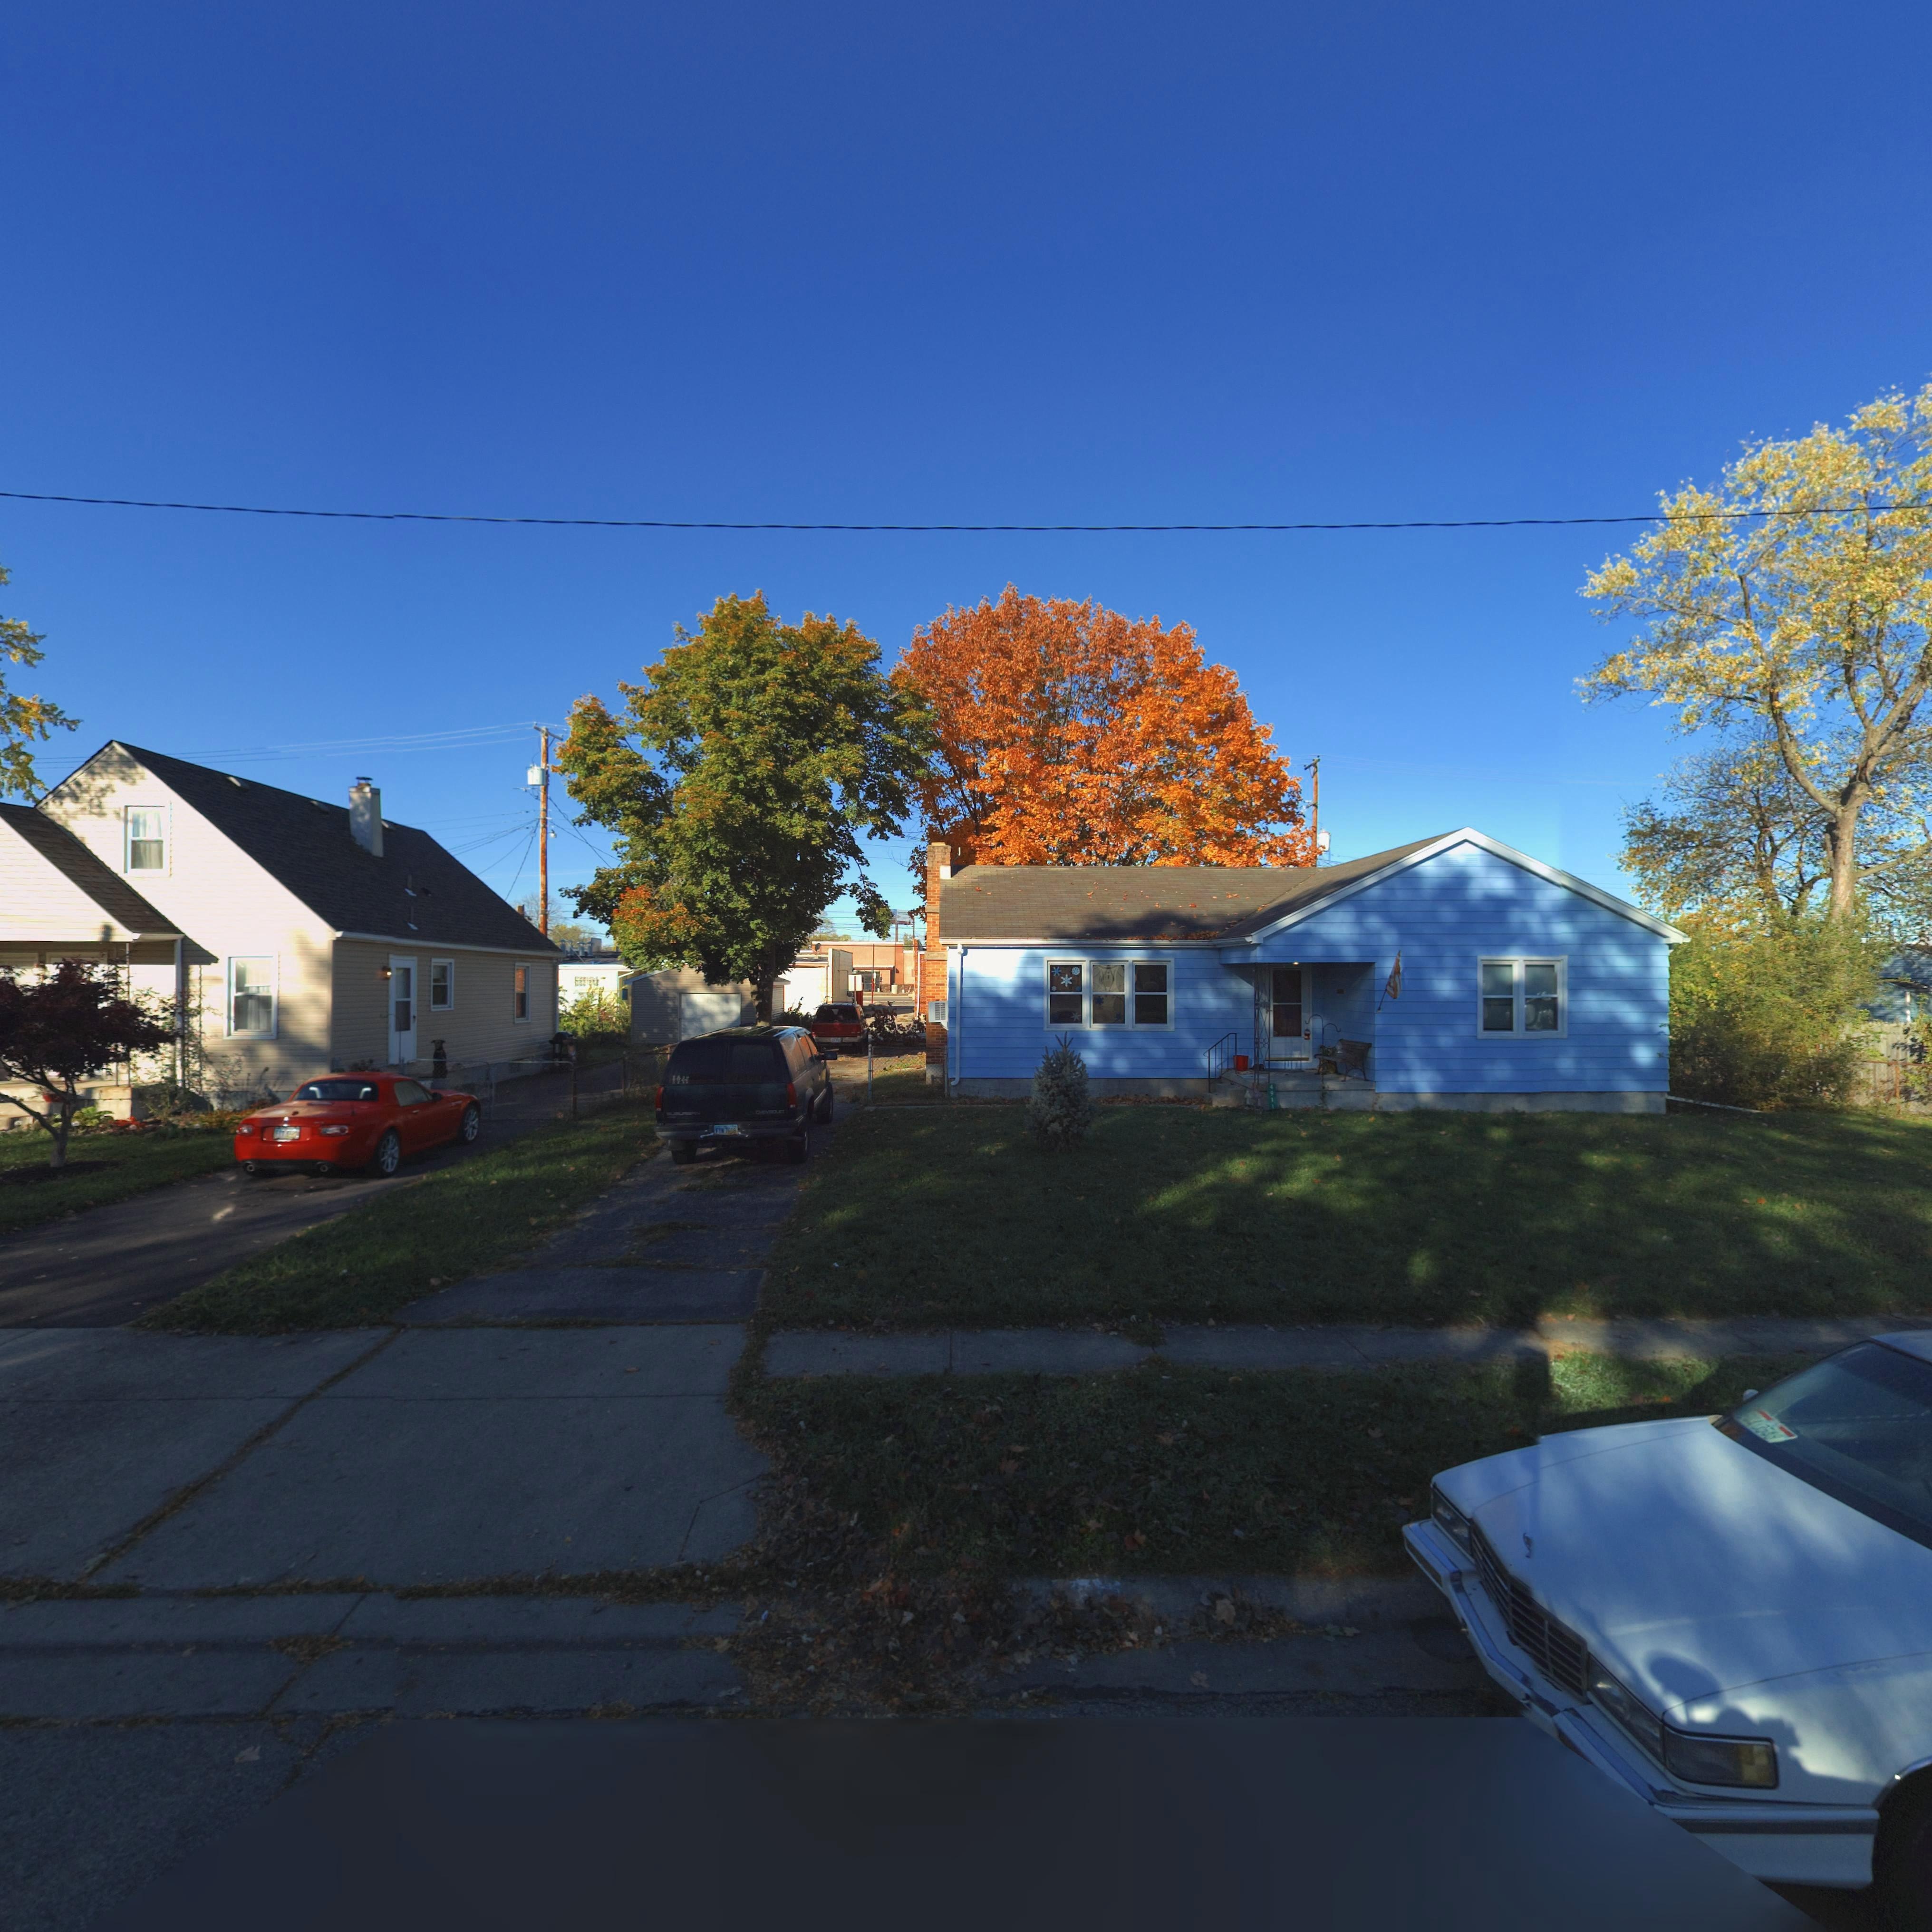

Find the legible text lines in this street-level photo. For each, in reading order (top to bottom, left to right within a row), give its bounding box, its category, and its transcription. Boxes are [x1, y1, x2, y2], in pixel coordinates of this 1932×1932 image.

[1268, 1083, 1276, 1110] StreetNumber: 4911